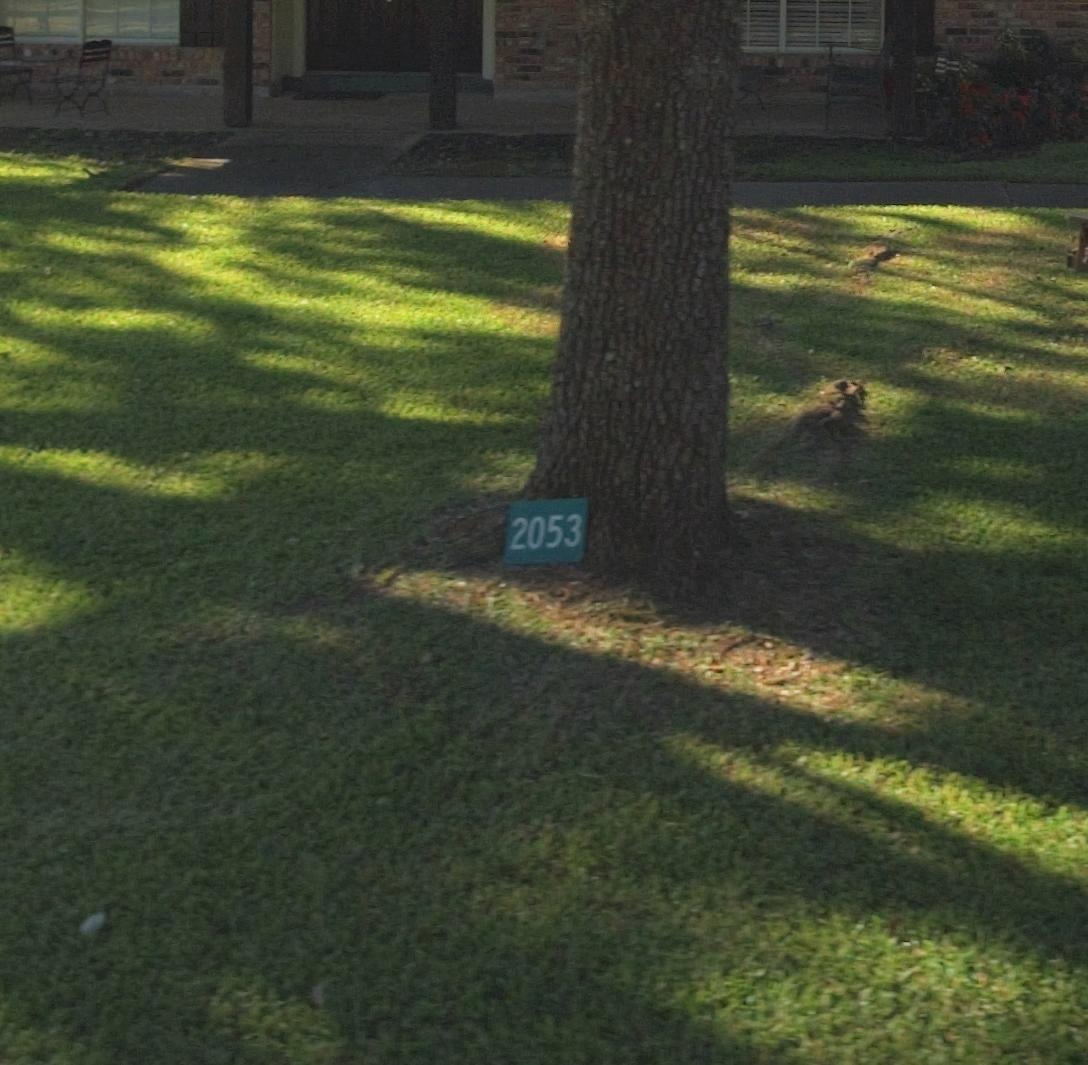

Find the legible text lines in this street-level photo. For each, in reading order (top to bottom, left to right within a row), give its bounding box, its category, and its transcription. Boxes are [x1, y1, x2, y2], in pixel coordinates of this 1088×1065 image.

[507, 511, 587, 554] StreetNumber: 2053